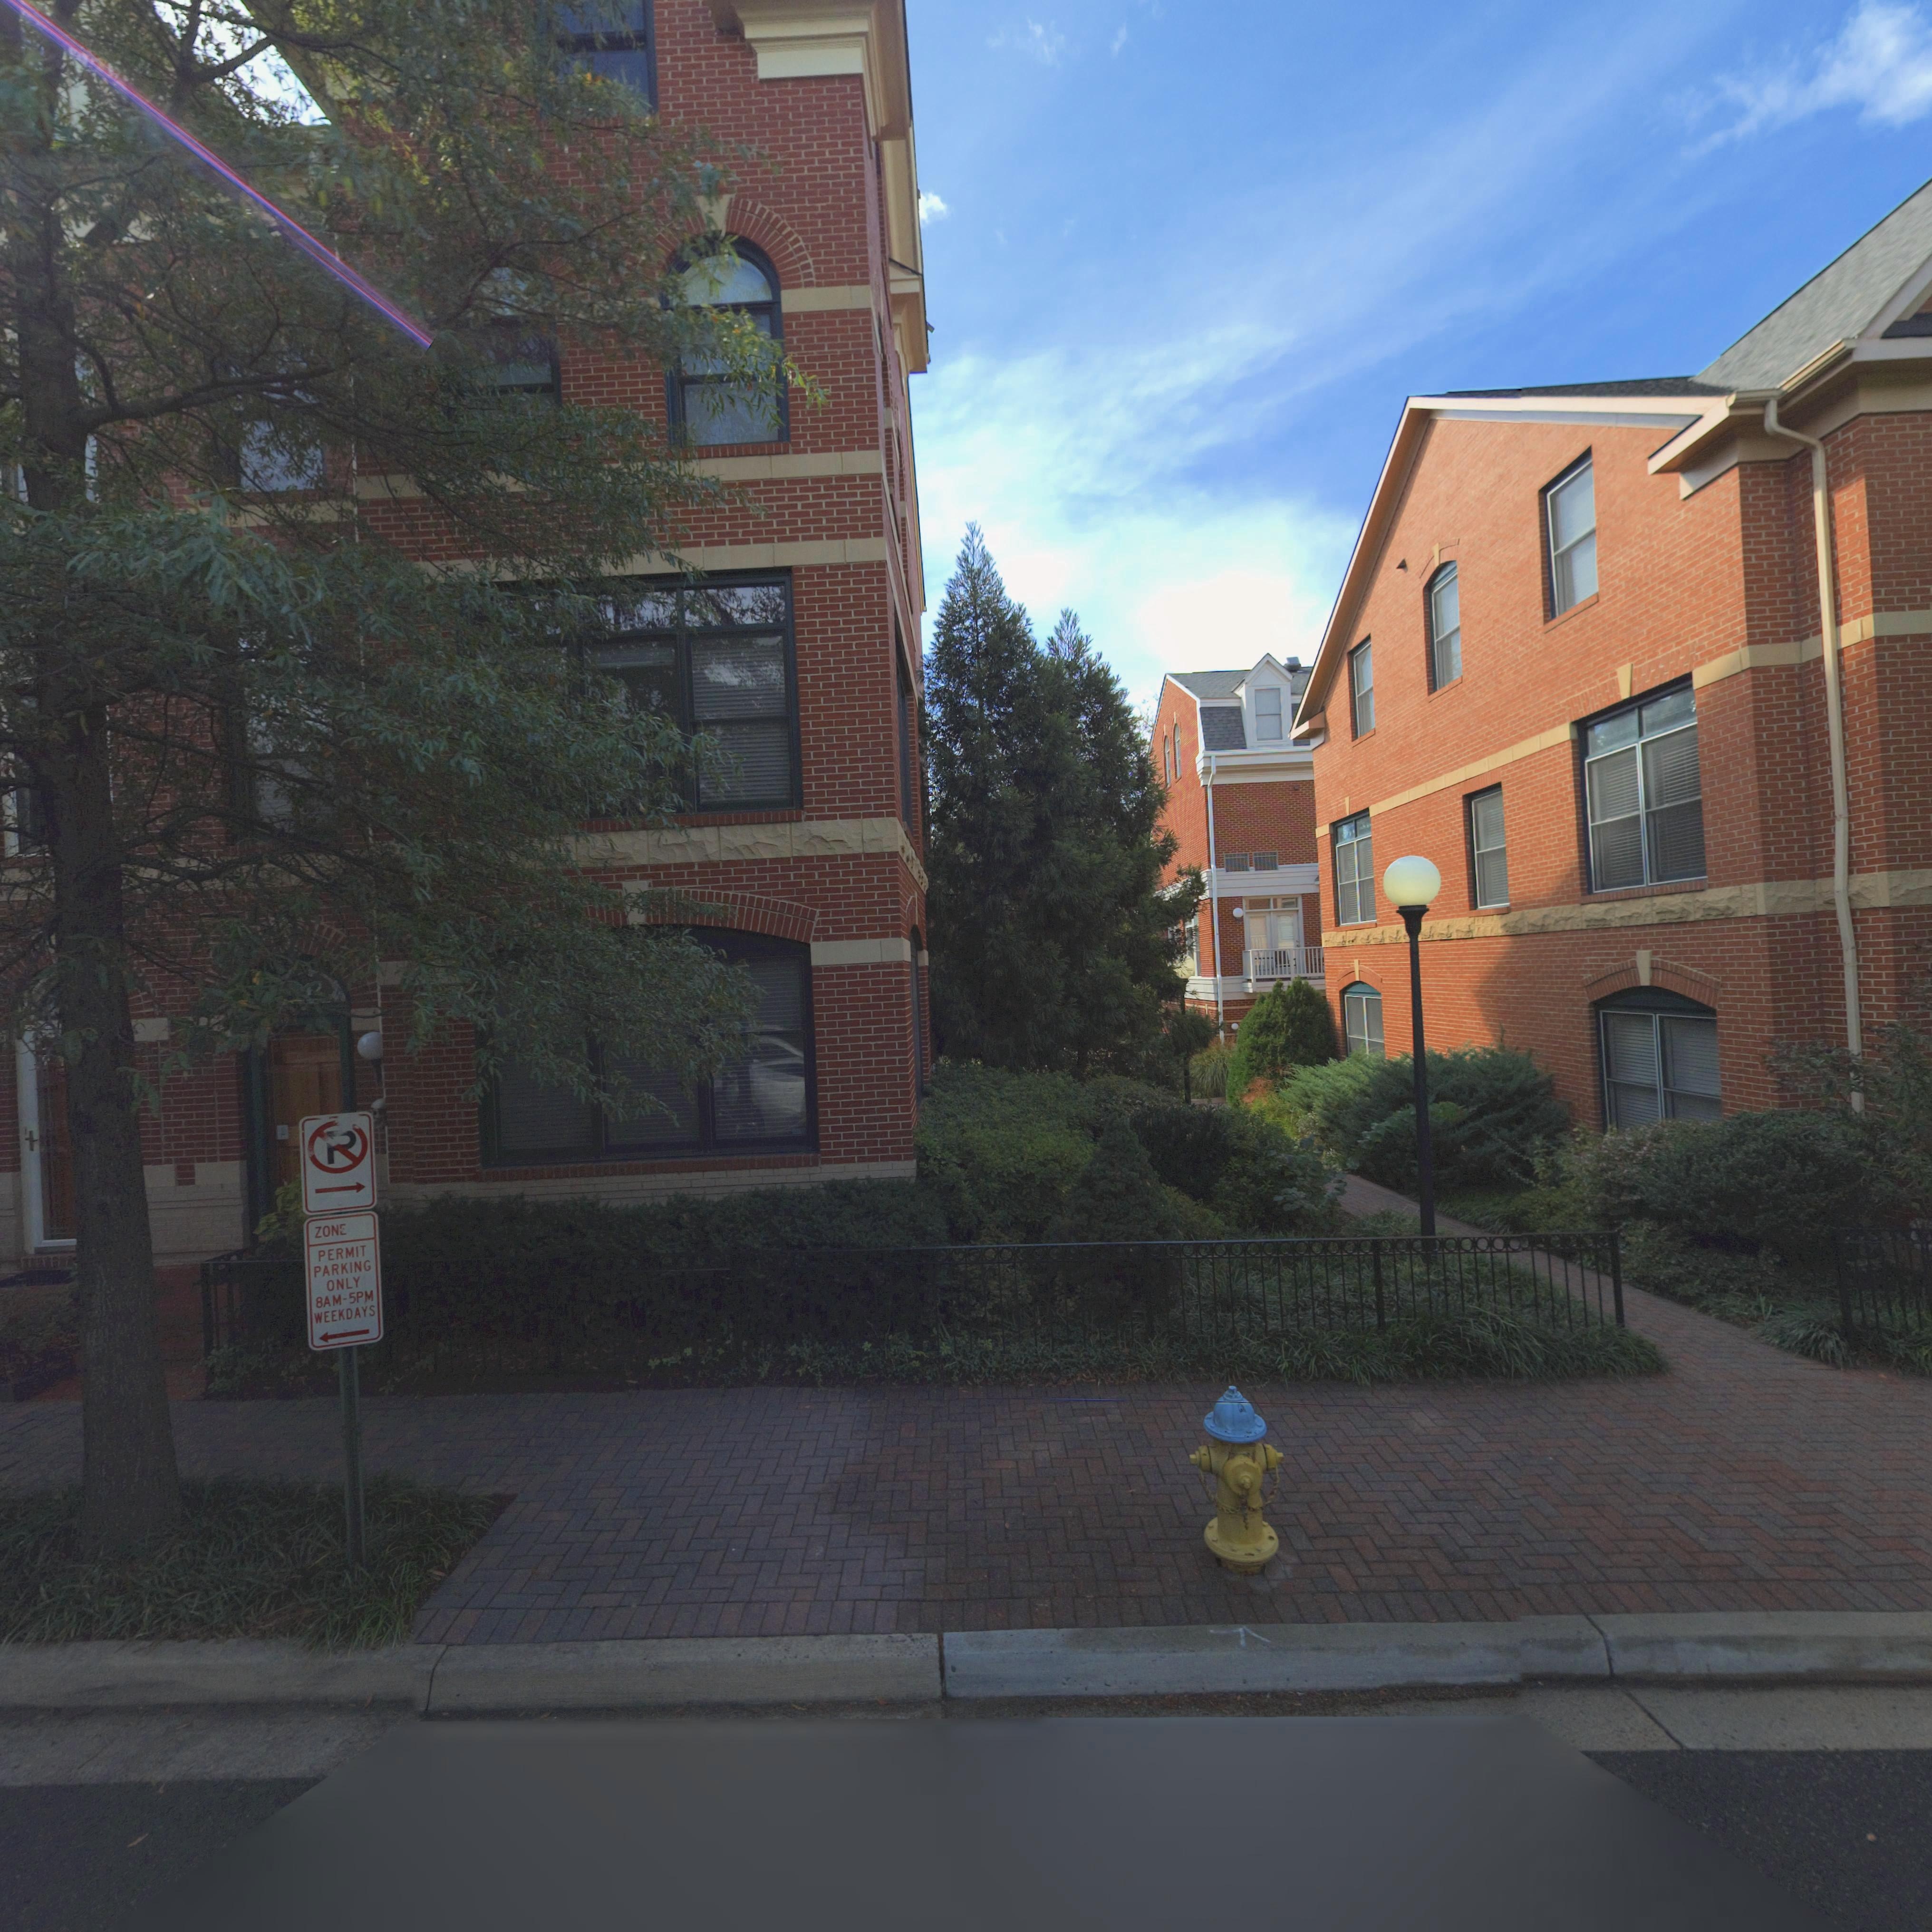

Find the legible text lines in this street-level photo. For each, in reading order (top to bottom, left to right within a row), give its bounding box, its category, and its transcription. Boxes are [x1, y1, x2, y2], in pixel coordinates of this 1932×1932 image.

[313, 1222, 348, 1239] None: ZON*
[316, 1244, 367, 1263] None: PERMIT
[312, 1258, 372, 1279] None: PARKING
[326, 1275, 361, 1293] None: ONLY
[314, 1288, 375, 1310] None: 8AM-5PM
[312, 1304, 377, 1326] None: WEEKDAYS